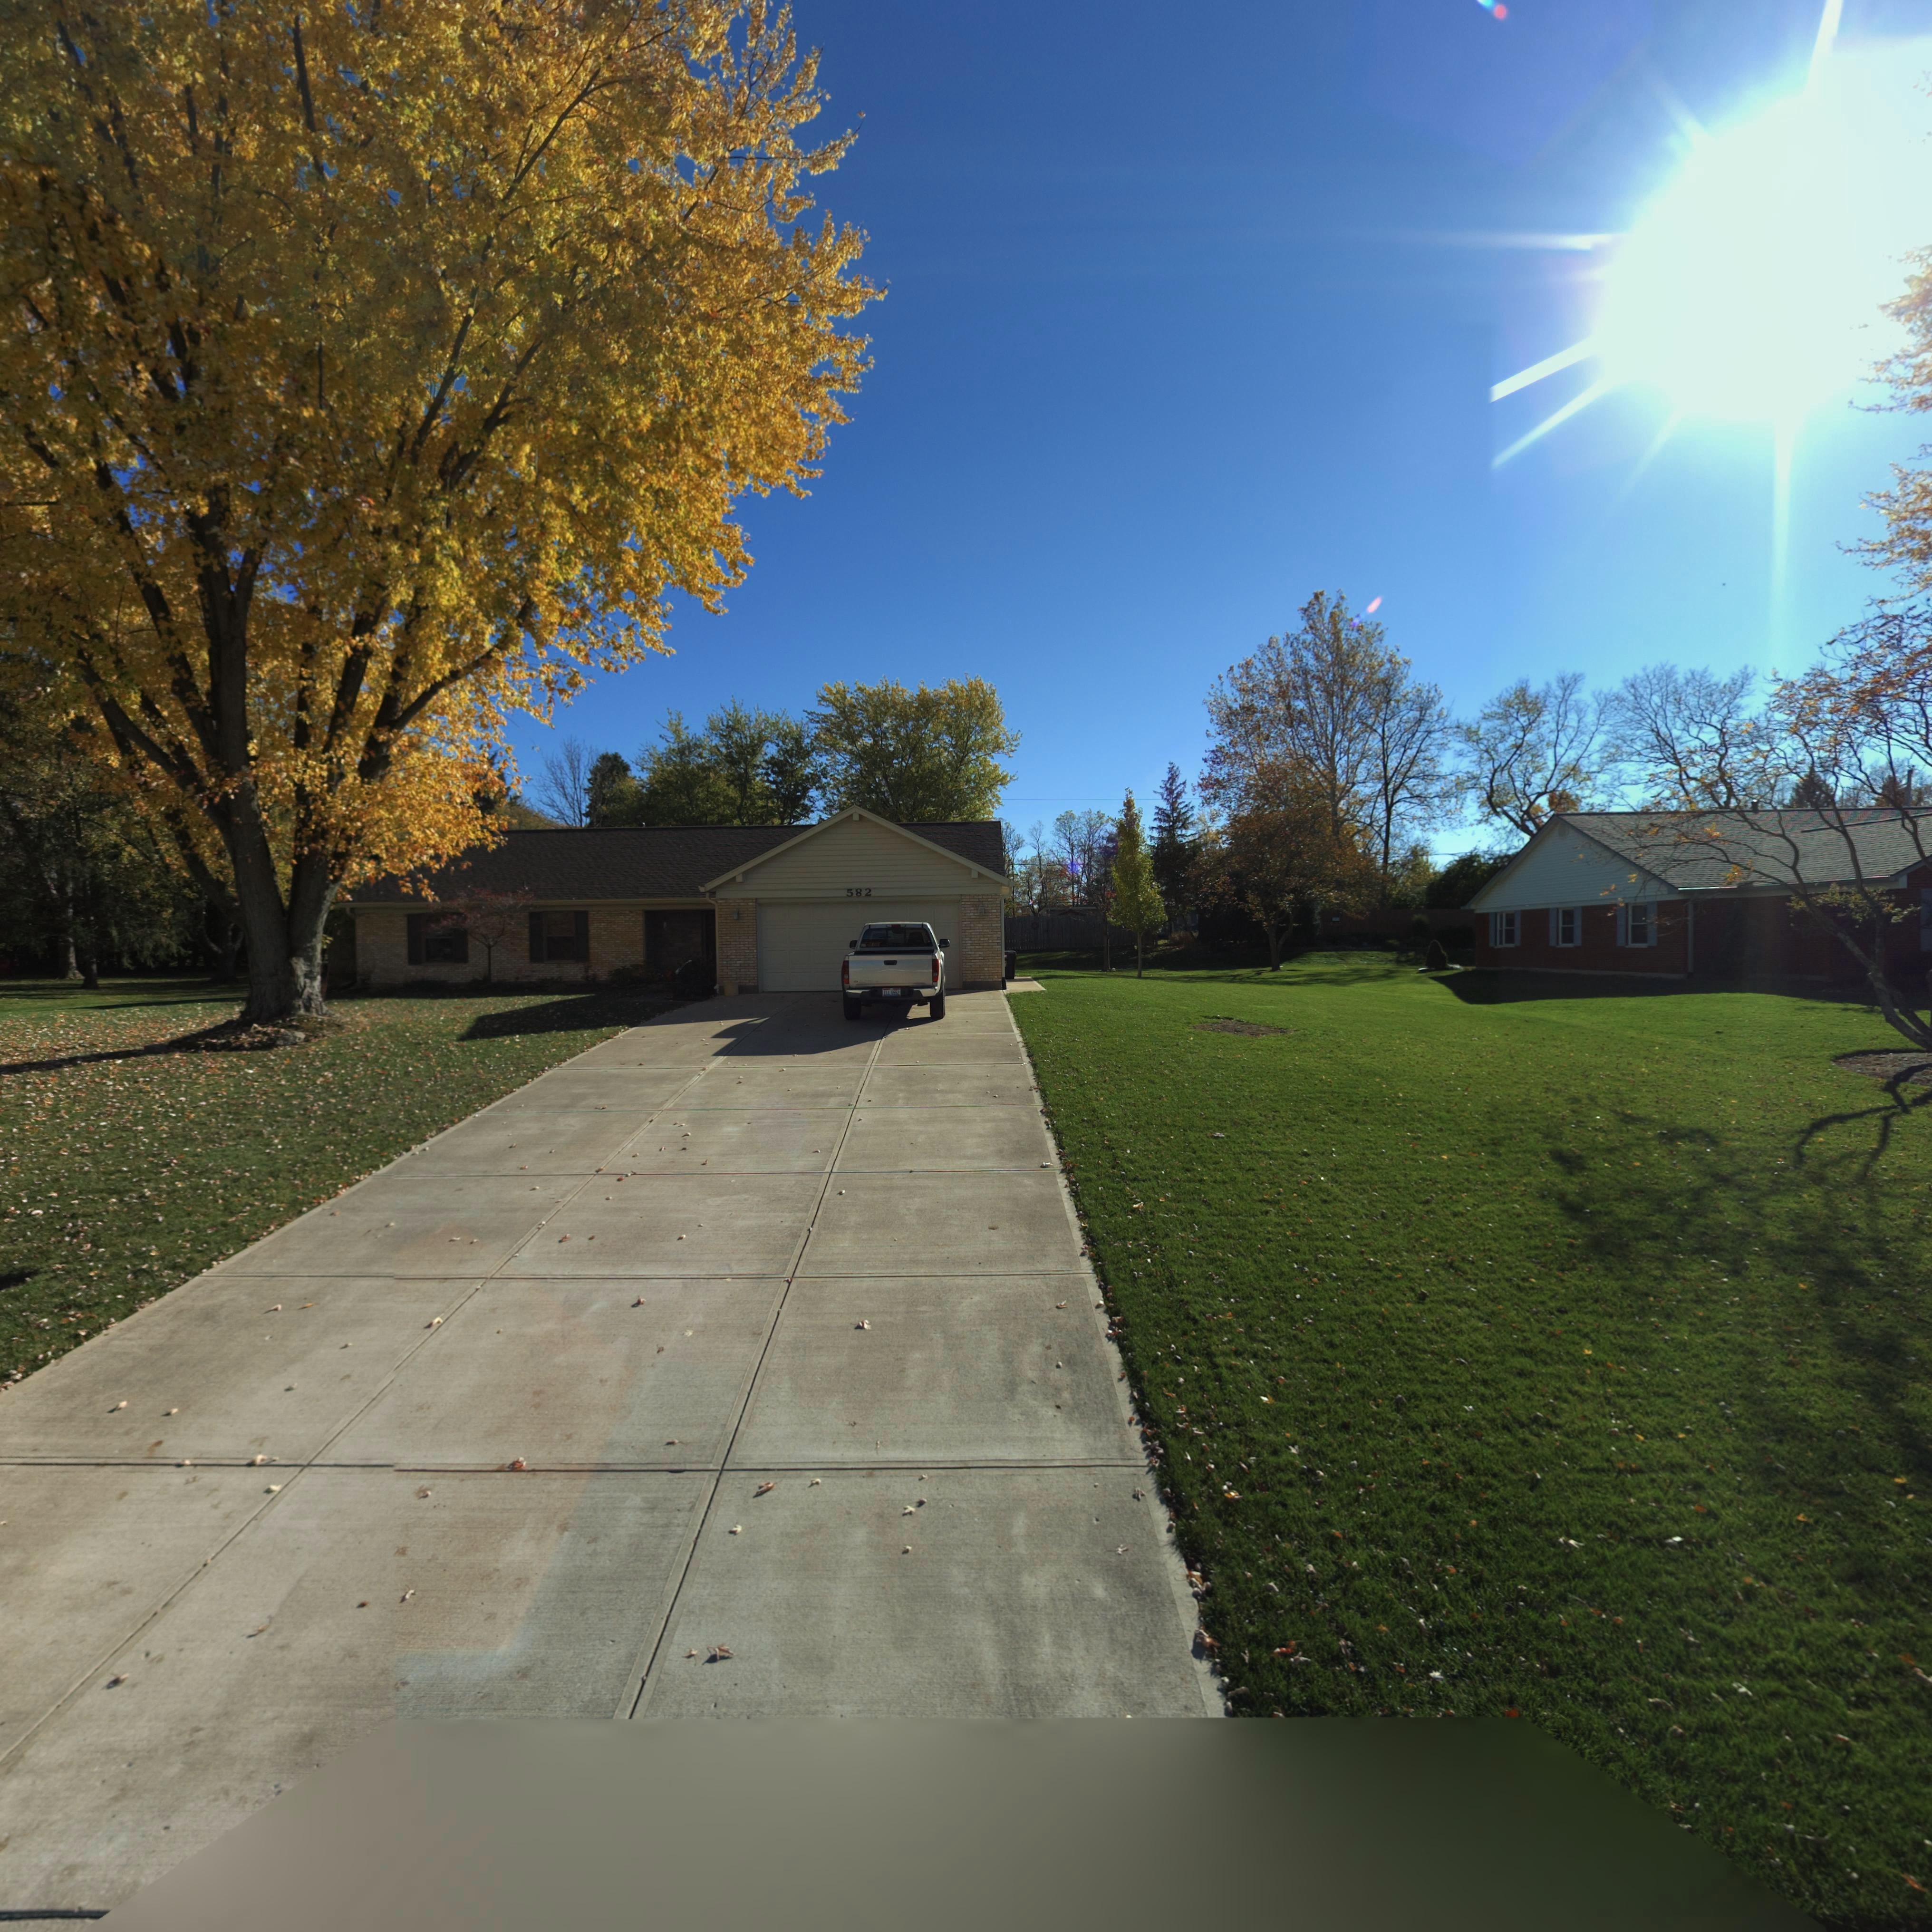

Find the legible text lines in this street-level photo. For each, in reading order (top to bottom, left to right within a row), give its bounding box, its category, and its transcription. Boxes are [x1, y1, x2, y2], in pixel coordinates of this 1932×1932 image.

[845, 888, 872, 897] StreetNumber: 582